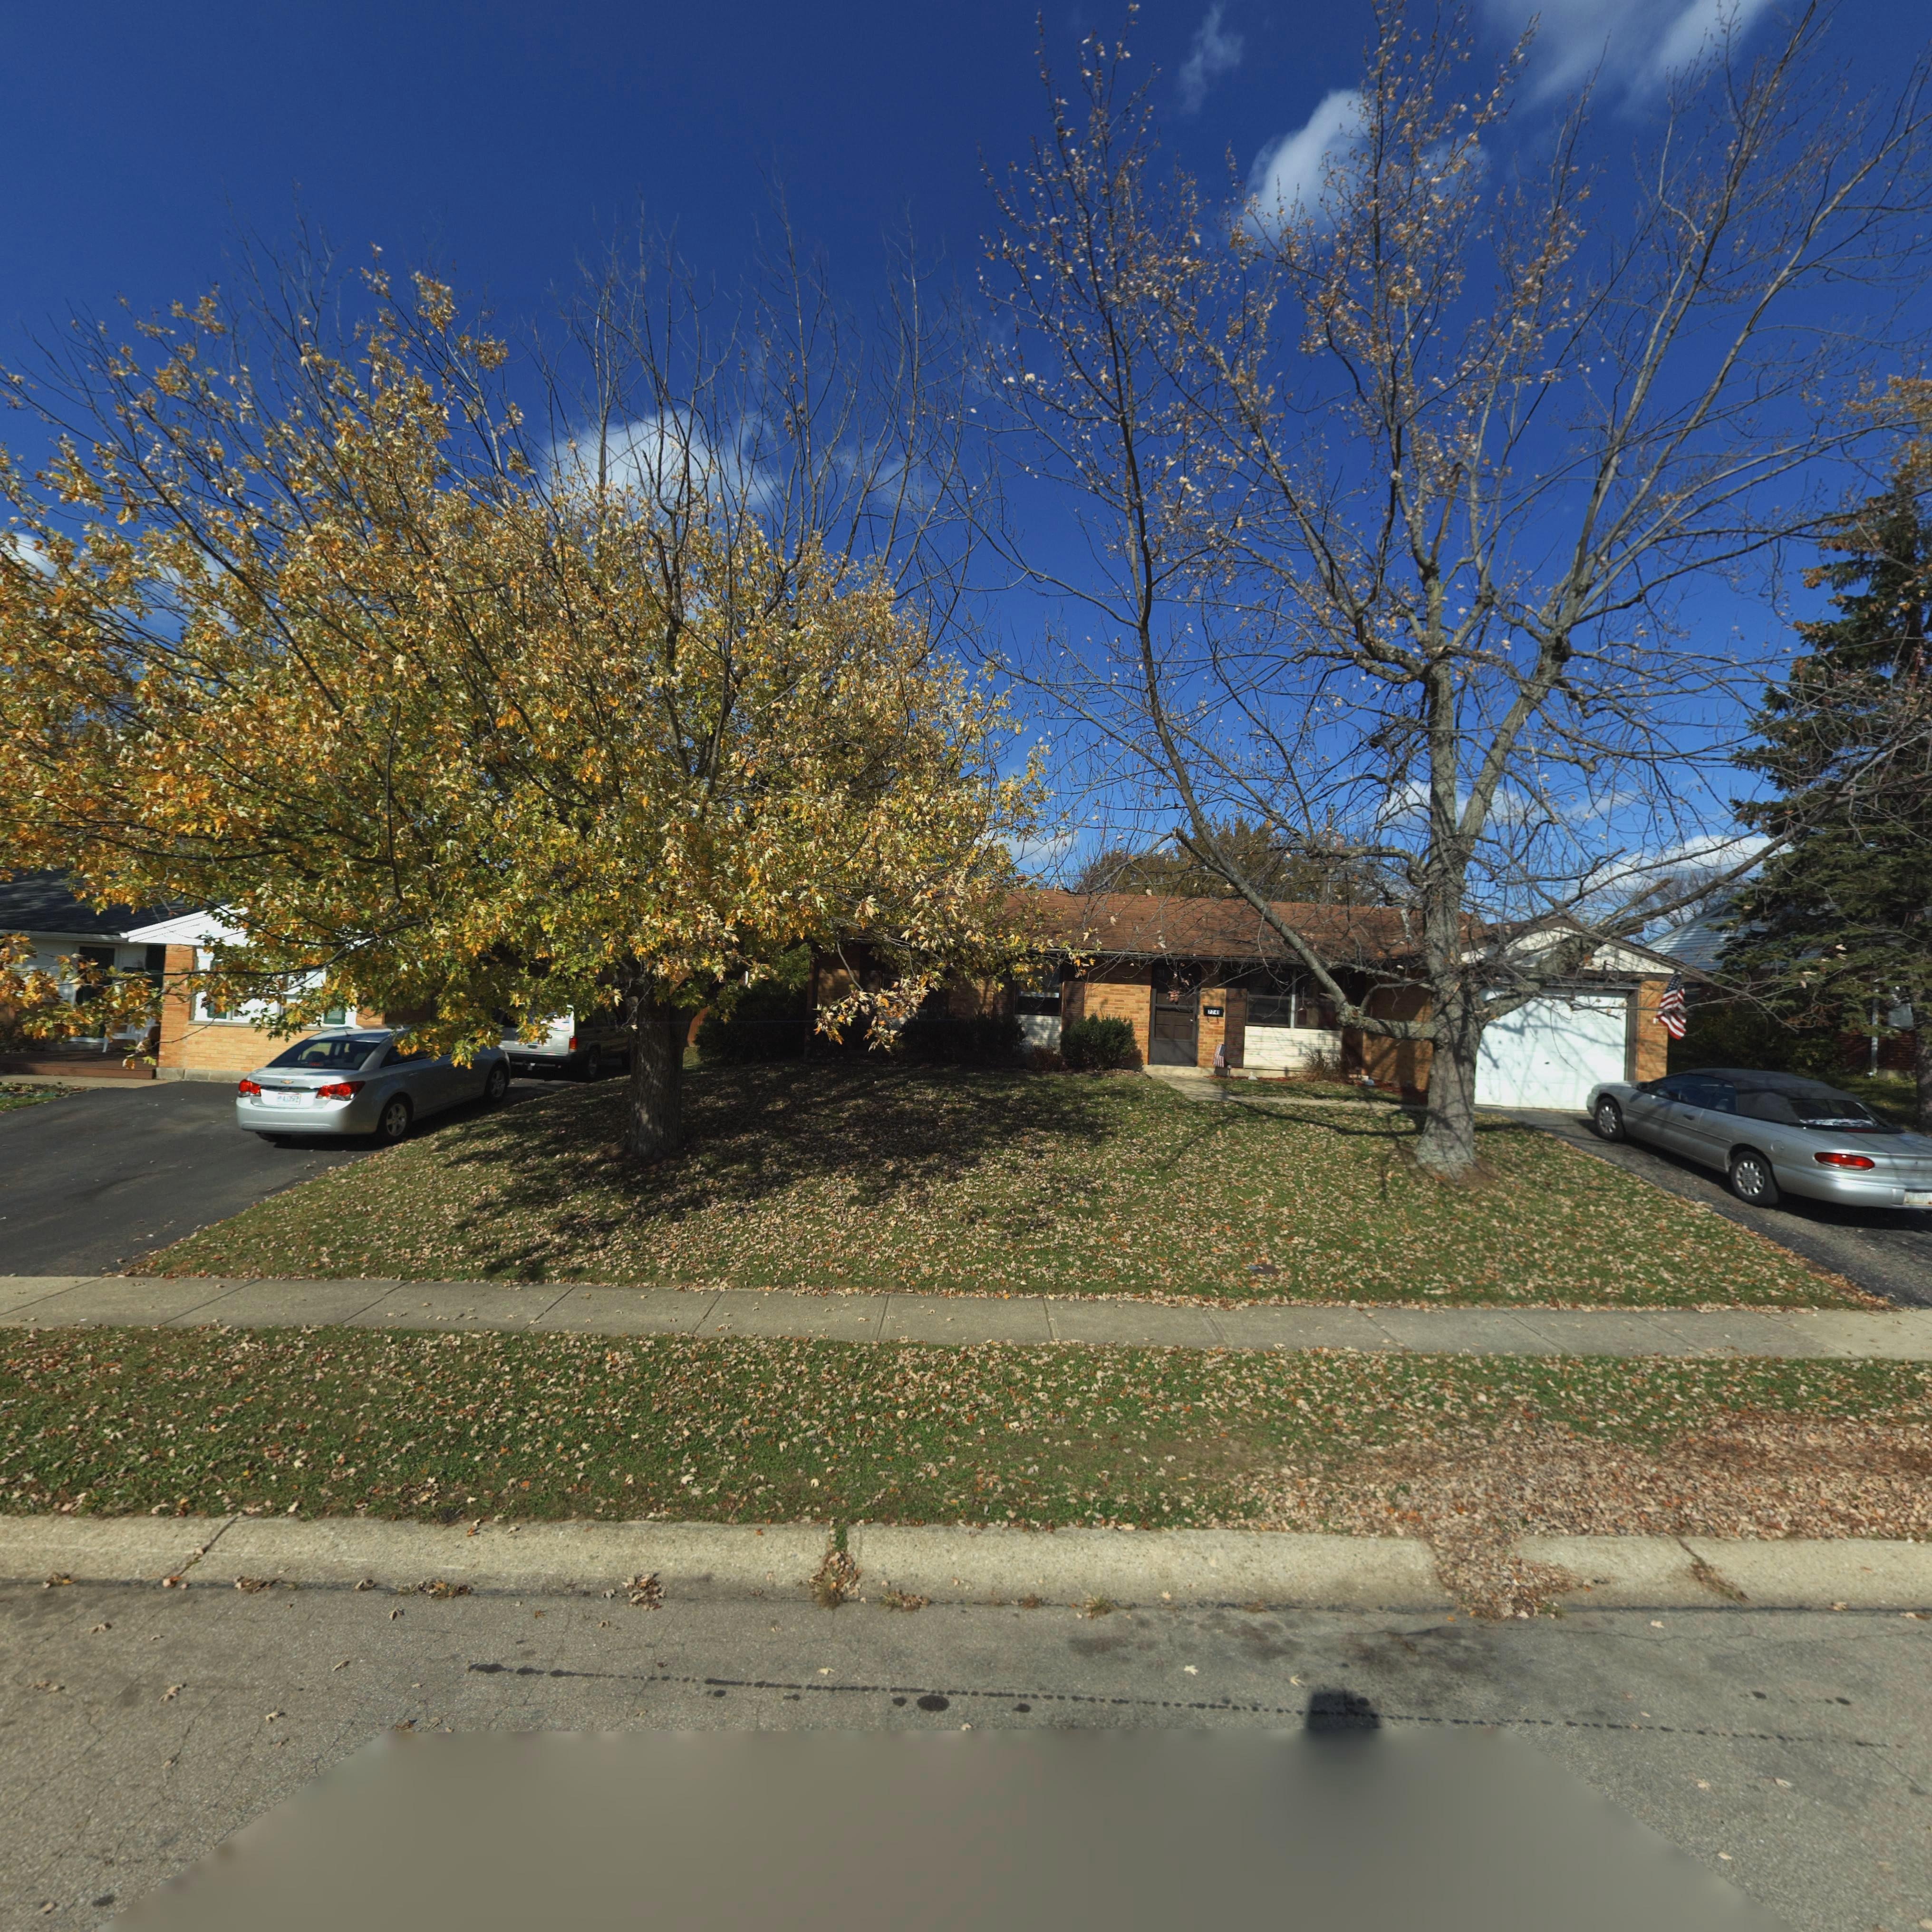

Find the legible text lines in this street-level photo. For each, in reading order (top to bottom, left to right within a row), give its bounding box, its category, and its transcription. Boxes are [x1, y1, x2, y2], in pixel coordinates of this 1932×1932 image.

[1207, 1010, 1220, 1015] StreetNumber: 7741